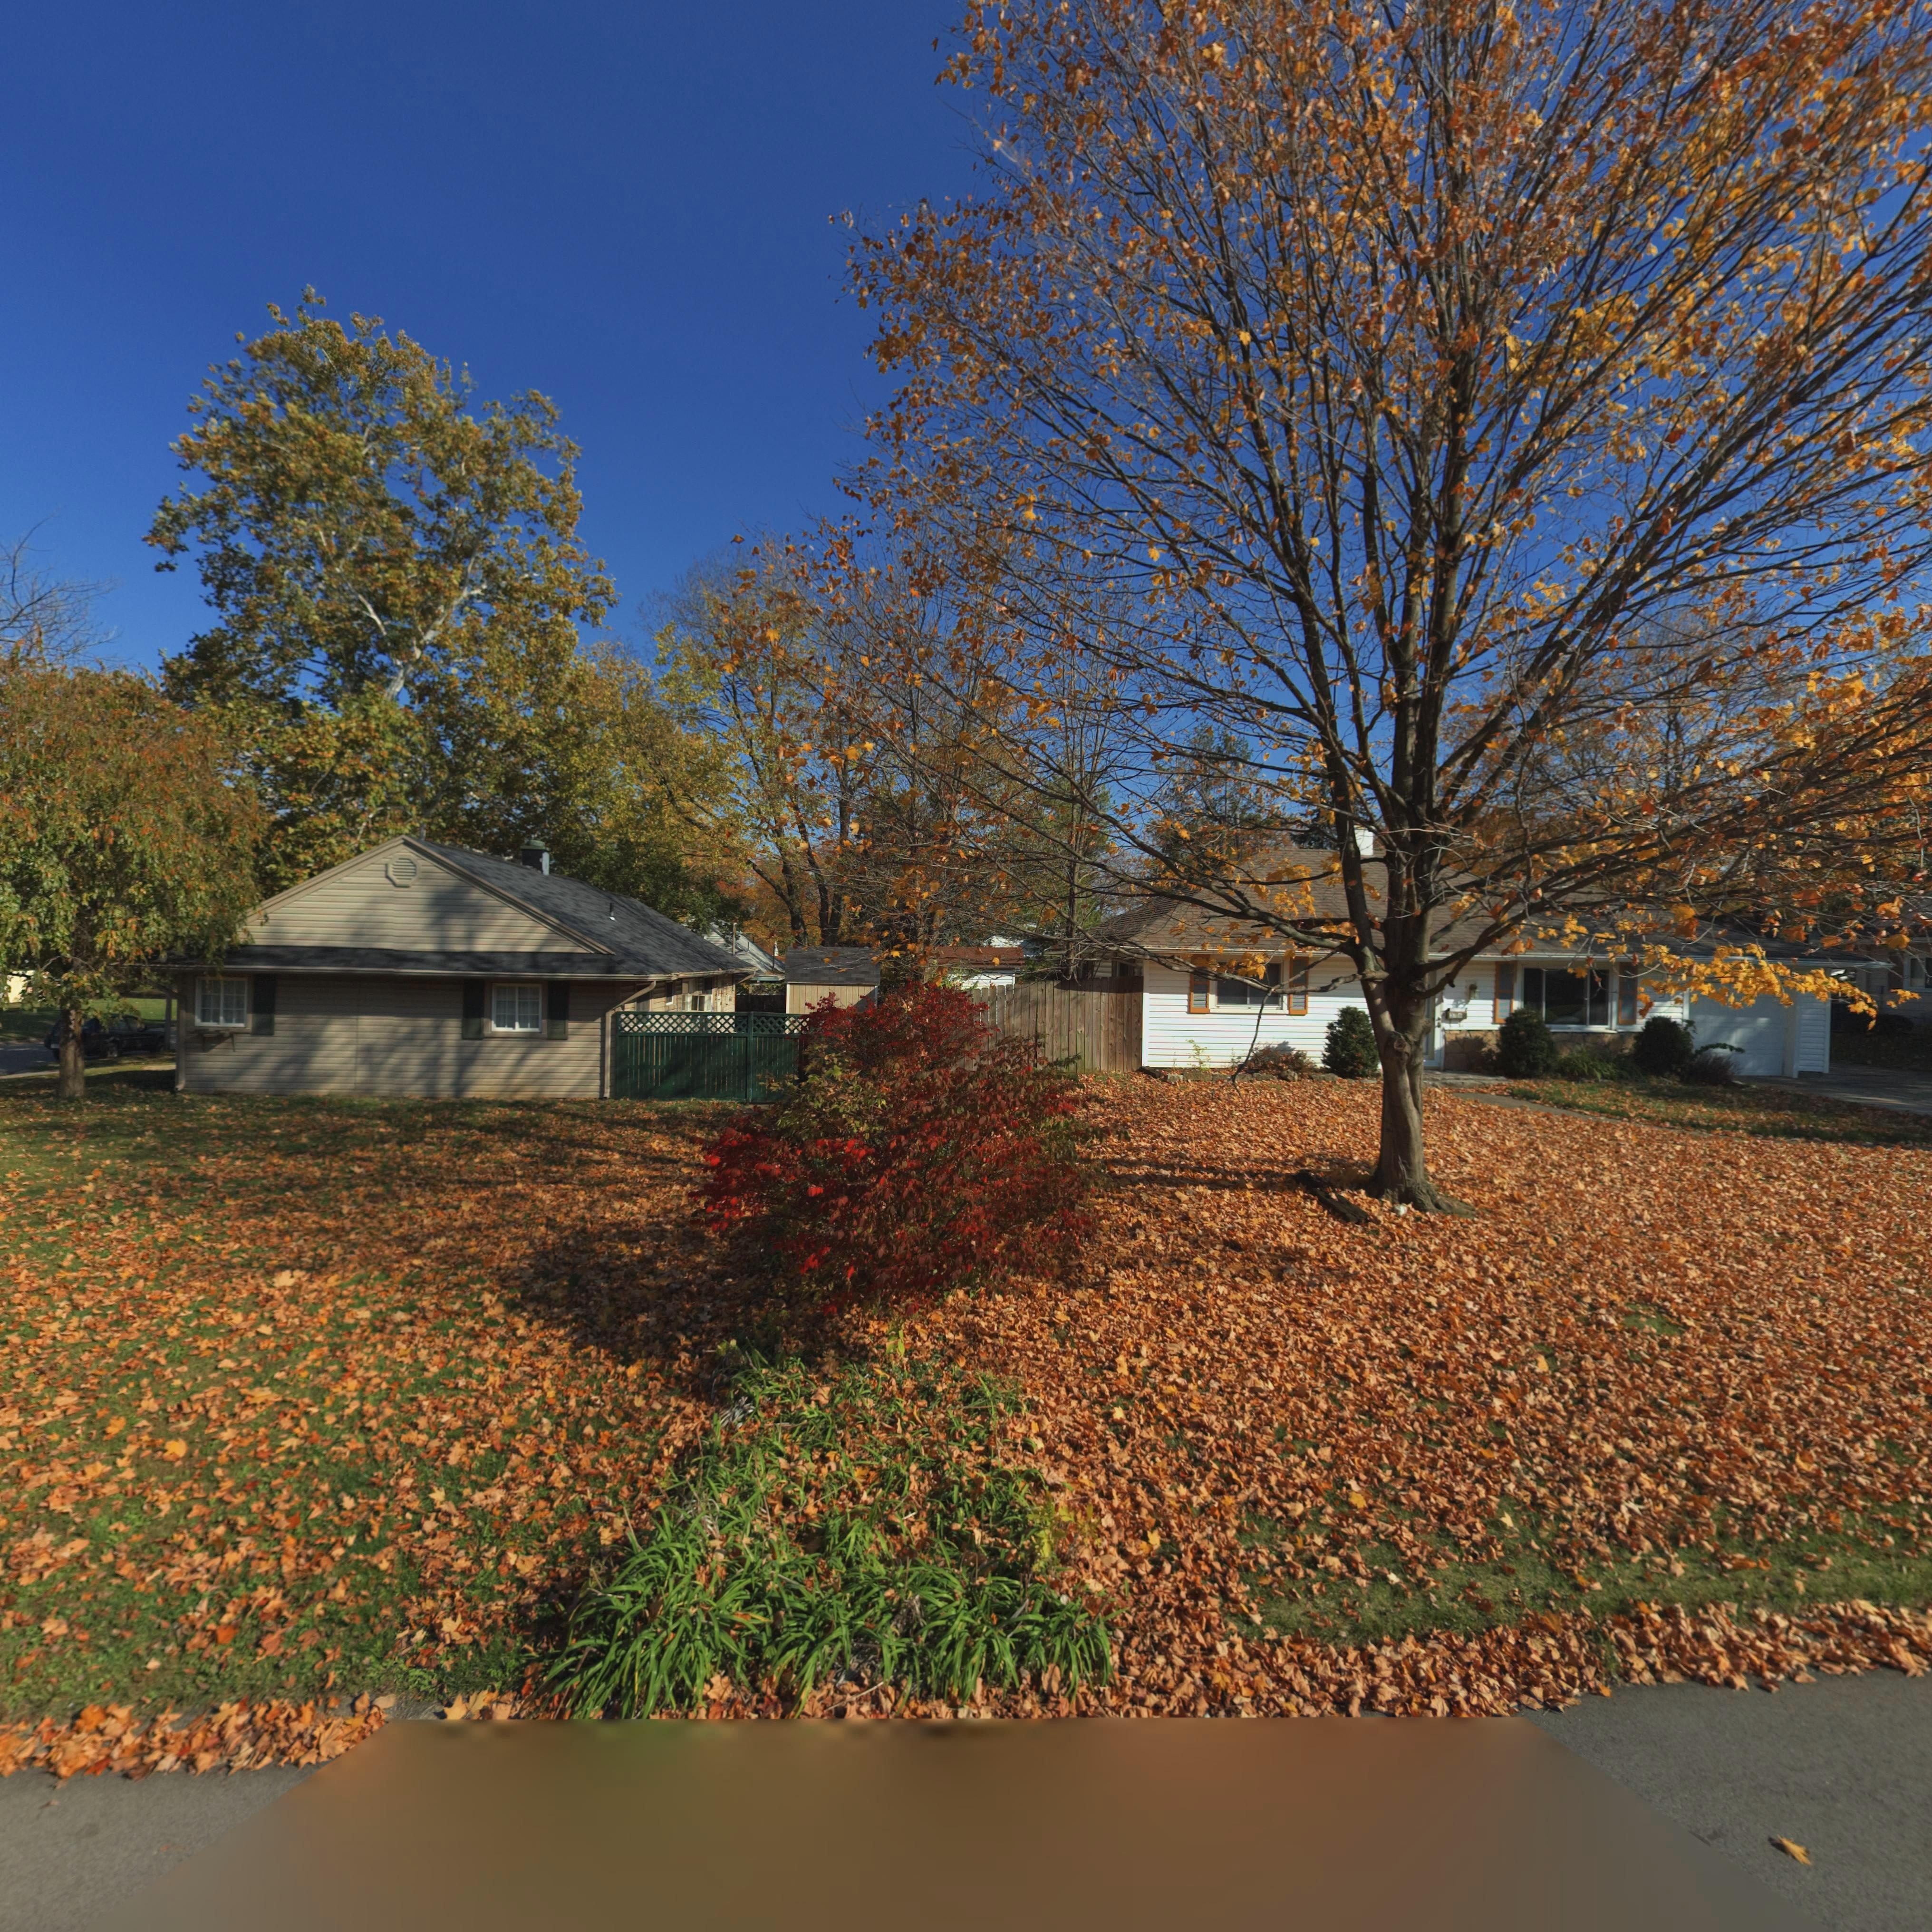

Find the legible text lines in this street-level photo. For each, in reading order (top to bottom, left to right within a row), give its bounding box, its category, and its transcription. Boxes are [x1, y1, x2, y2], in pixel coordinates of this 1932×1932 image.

[1449, 1013, 1462, 1018] StreetNumber: 3***